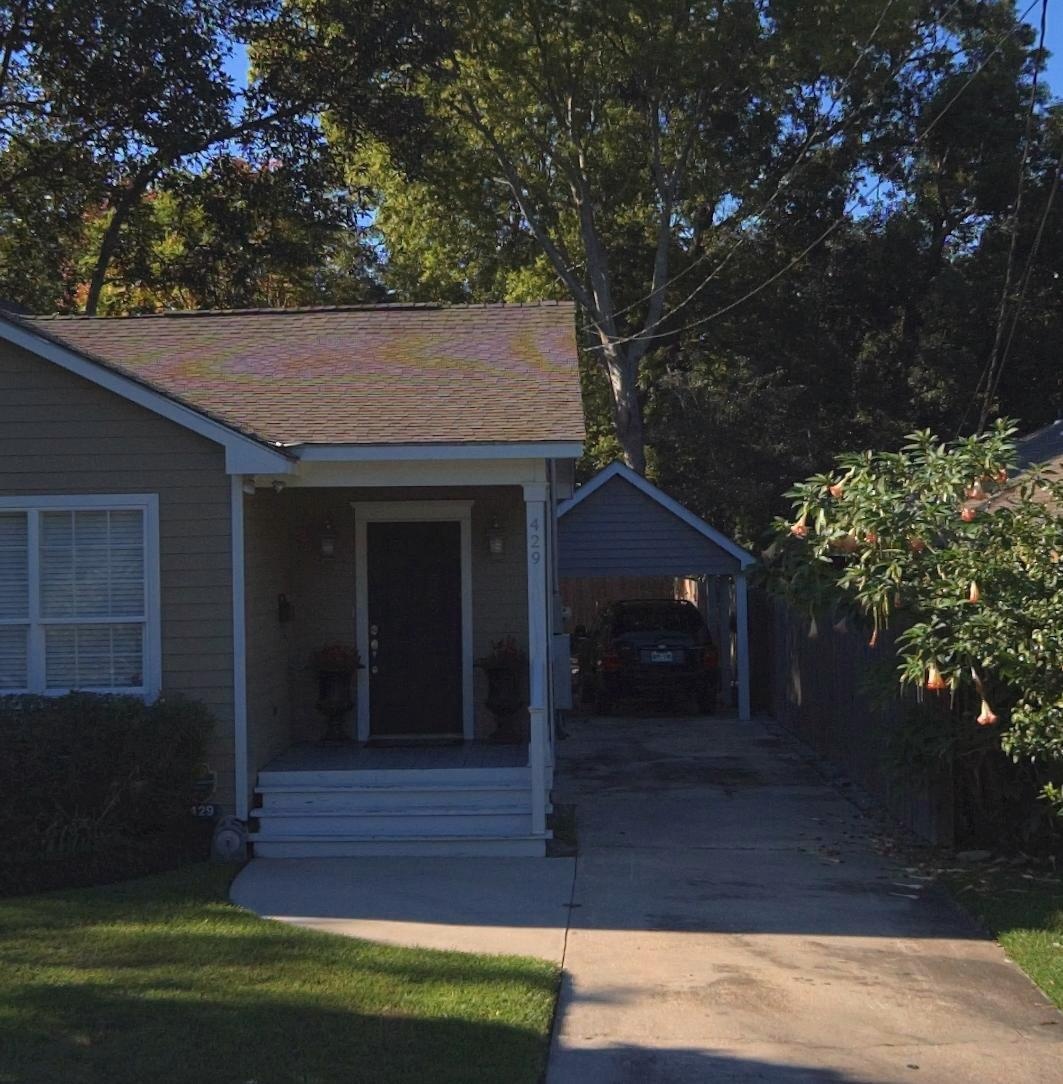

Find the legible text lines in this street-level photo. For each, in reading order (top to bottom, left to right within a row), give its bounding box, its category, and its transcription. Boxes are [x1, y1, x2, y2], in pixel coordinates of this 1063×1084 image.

[527, 515, 543, 567] StreetNumber: 429